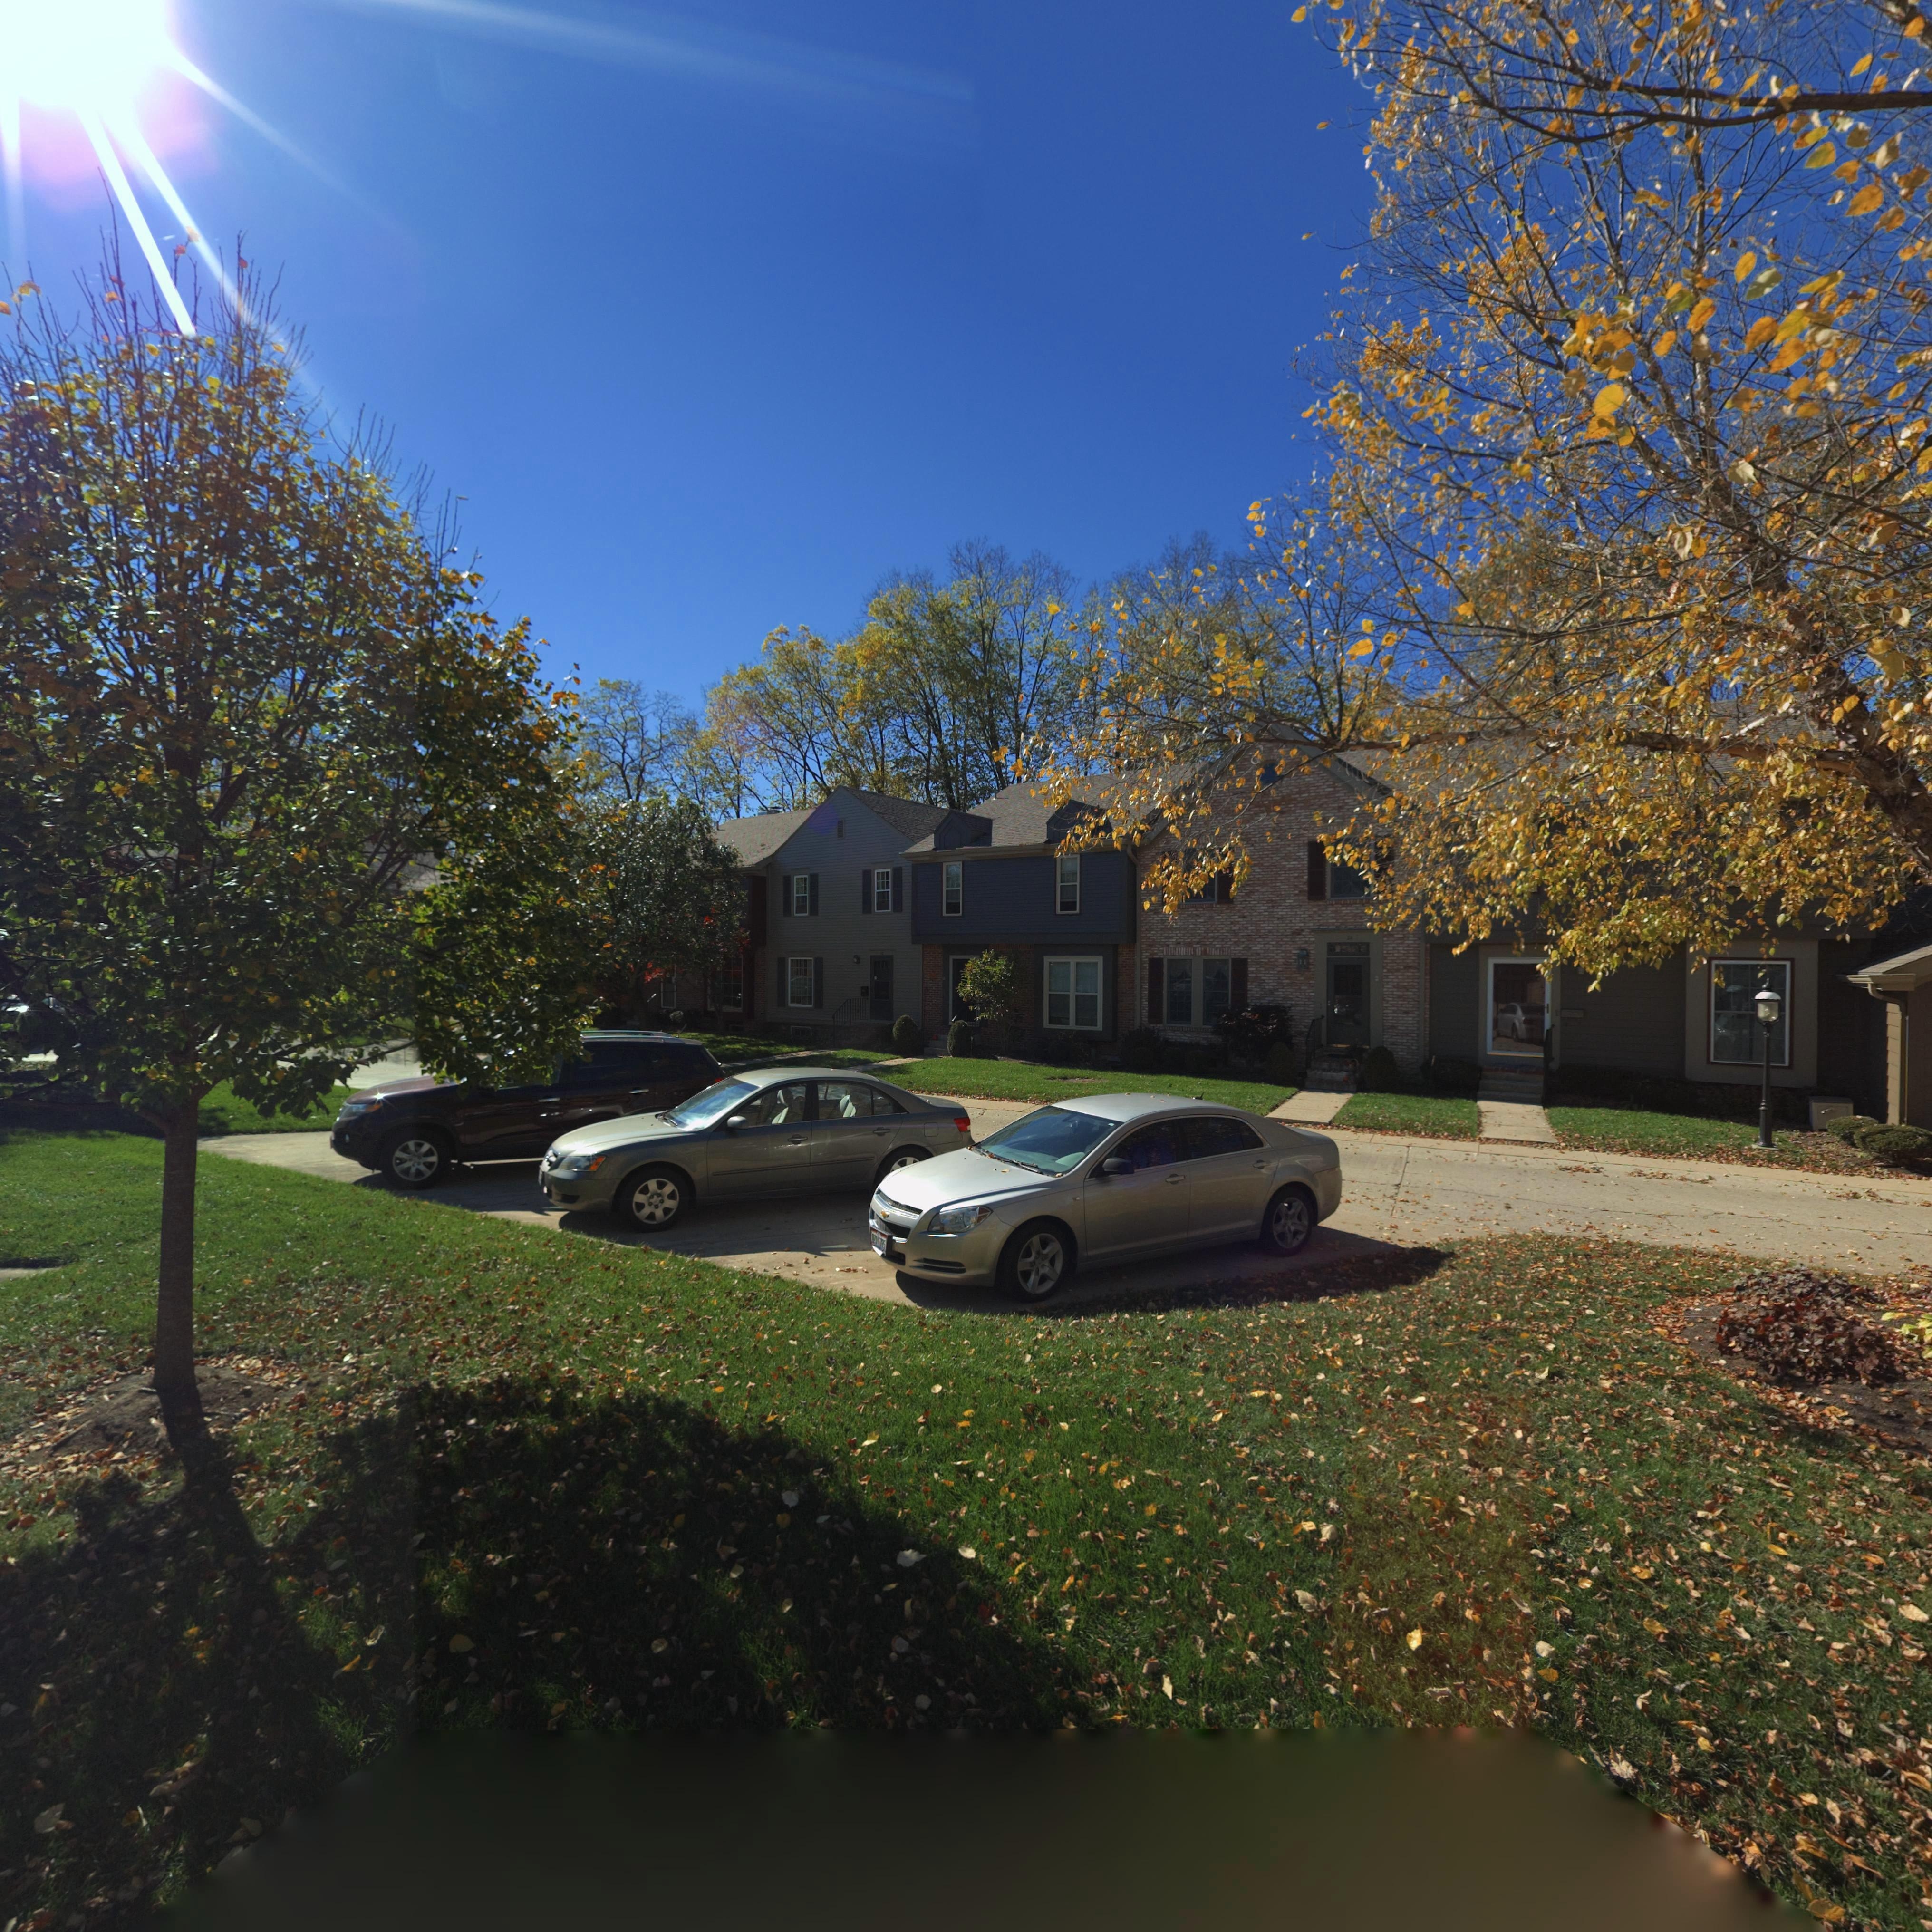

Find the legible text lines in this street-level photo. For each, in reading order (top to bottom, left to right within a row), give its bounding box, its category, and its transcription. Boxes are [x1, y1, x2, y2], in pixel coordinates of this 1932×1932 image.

[1346, 935, 1353, 941] StreetNumber: 22